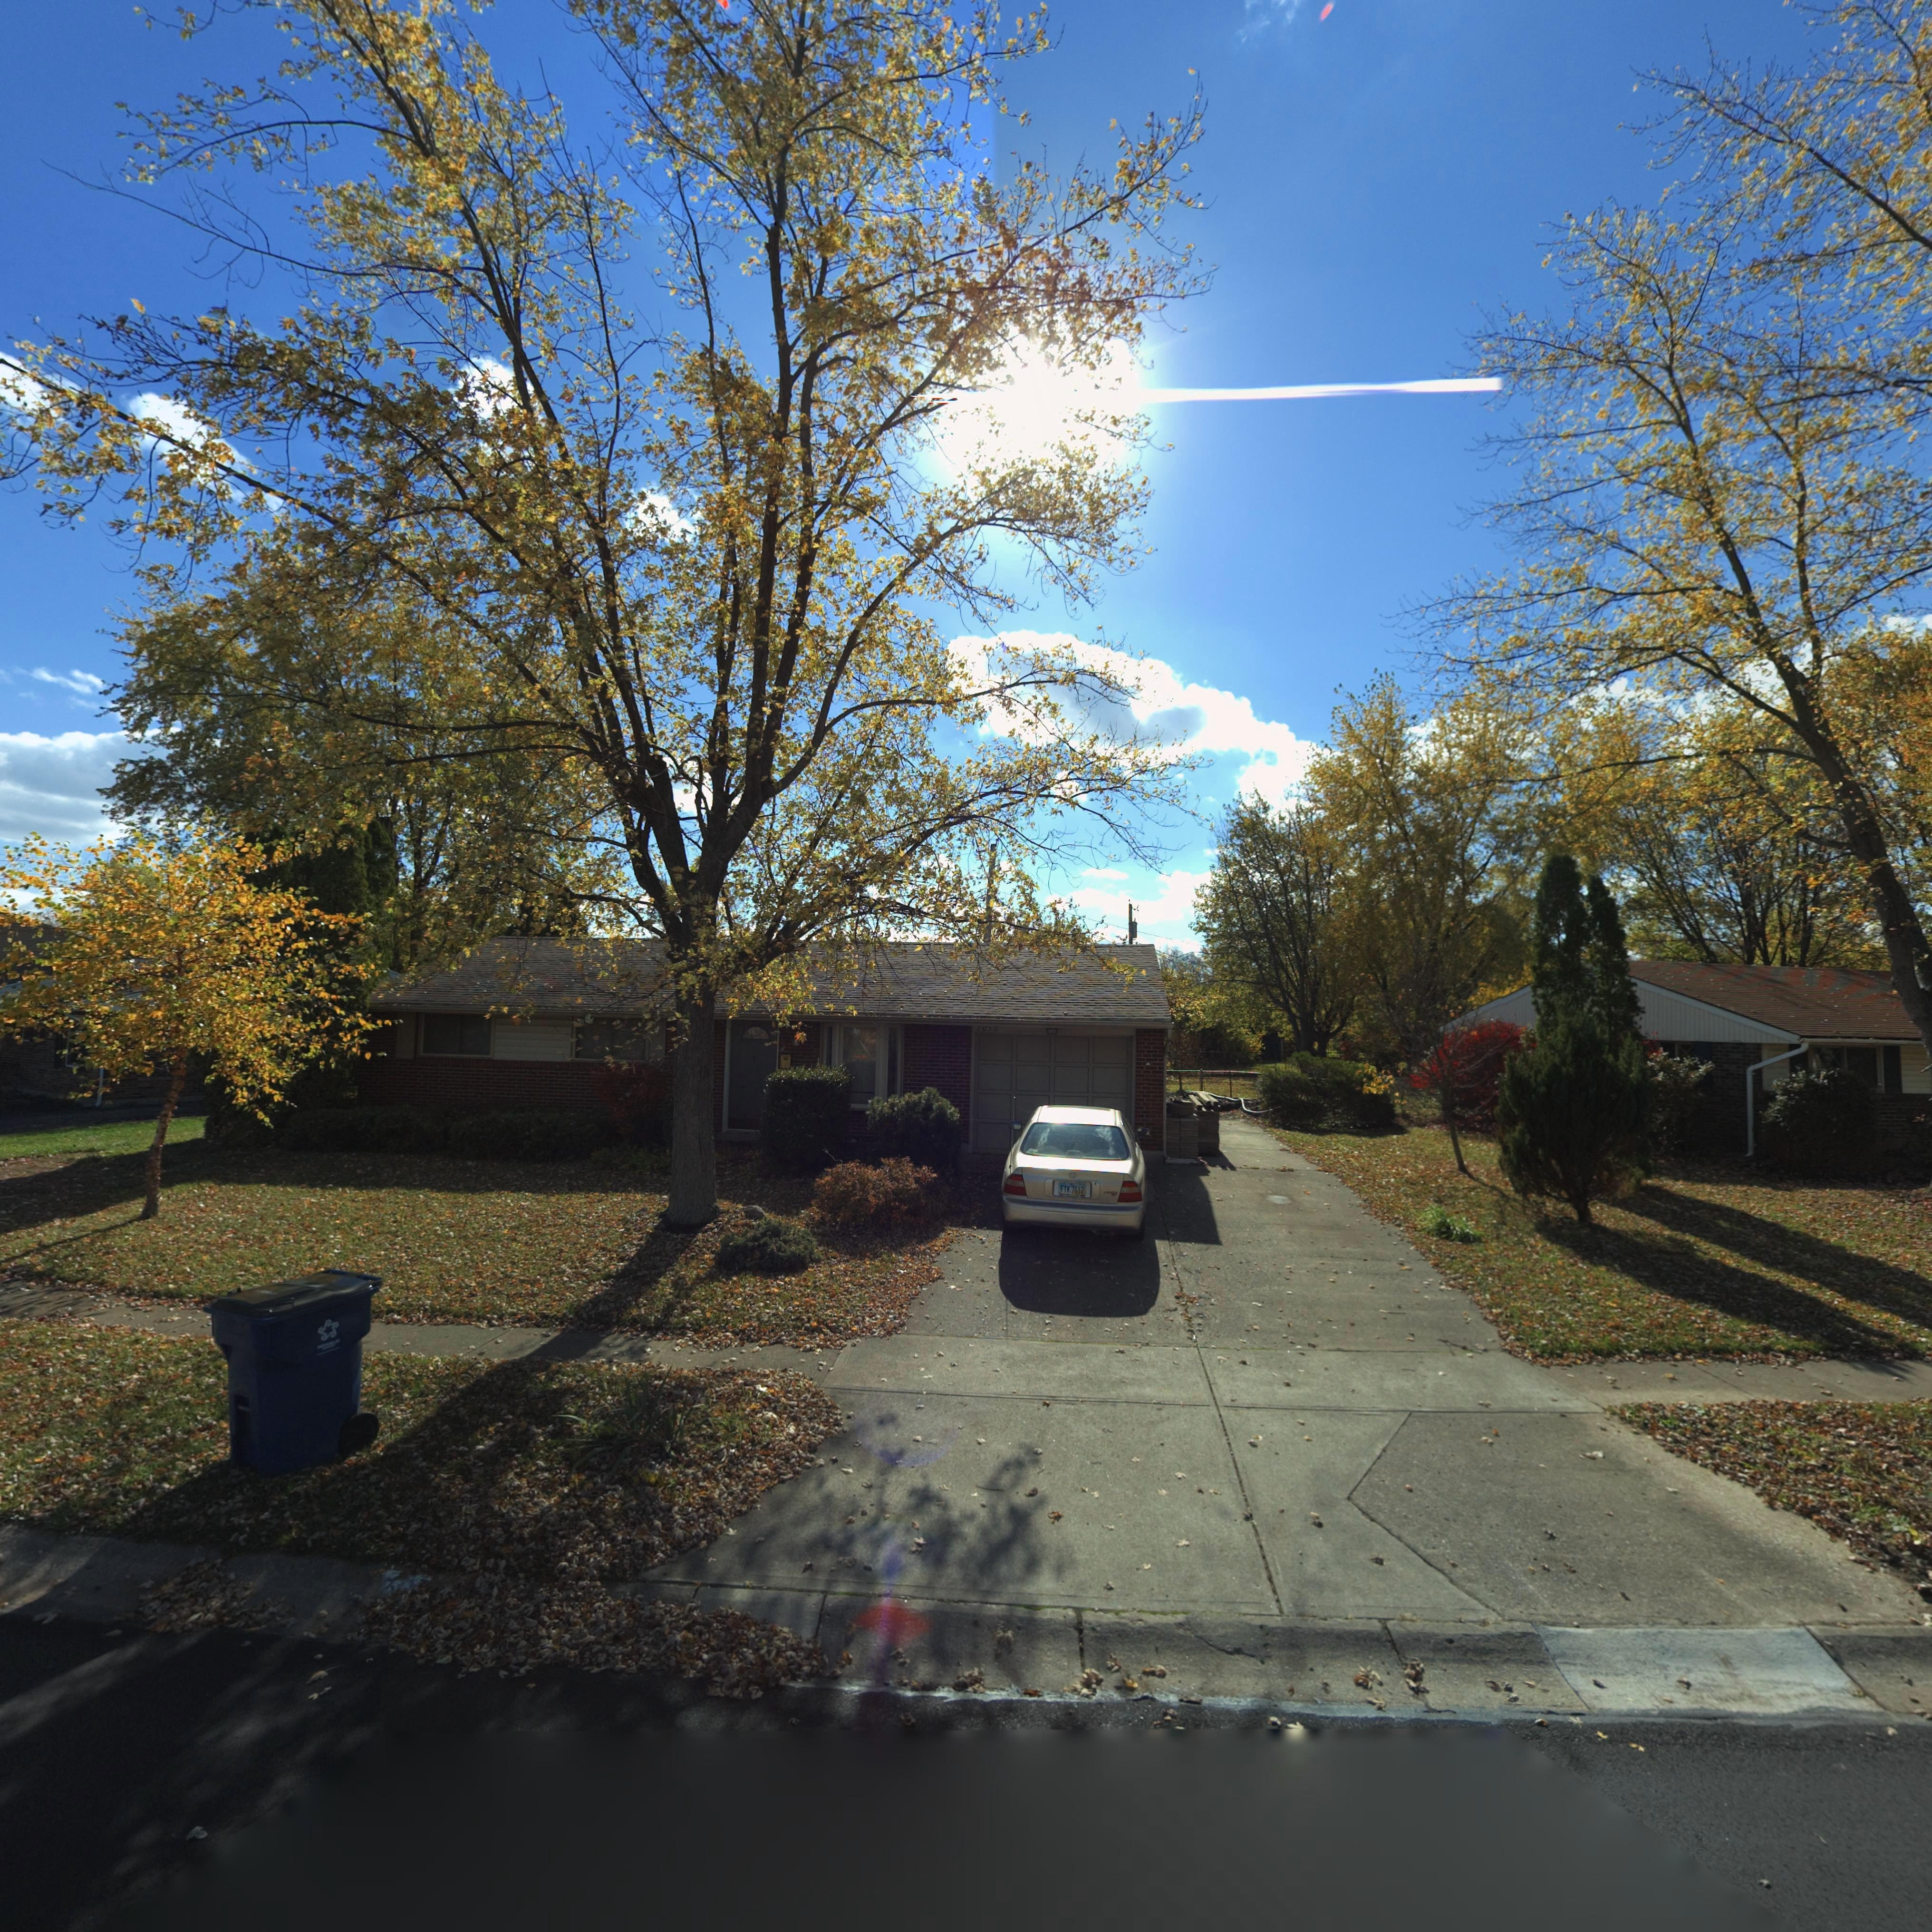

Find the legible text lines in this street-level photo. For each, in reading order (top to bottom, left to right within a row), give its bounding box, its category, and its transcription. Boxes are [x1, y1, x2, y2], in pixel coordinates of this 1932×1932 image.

[976, 1025, 999, 1032] StreetNumber: *0**